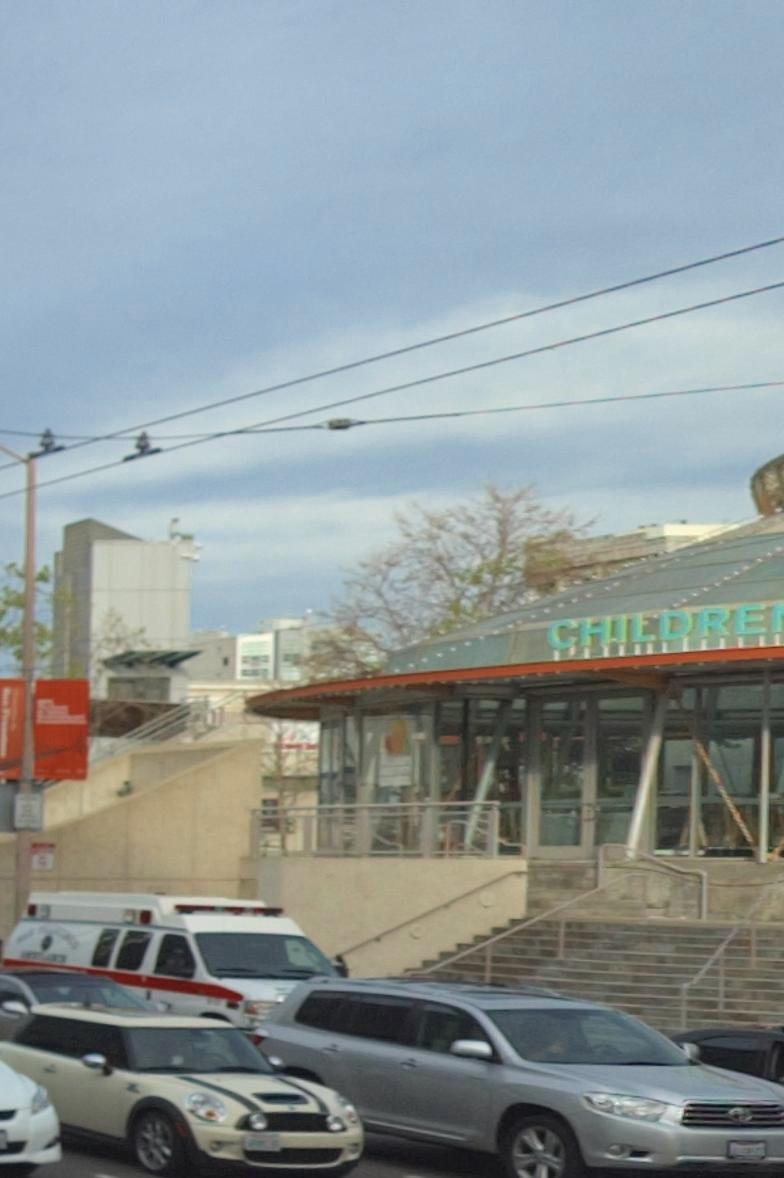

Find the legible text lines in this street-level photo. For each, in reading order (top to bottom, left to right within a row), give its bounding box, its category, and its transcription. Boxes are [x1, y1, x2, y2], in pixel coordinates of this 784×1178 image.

[544, 599, 769, 652] BusinessName: CHILDRE